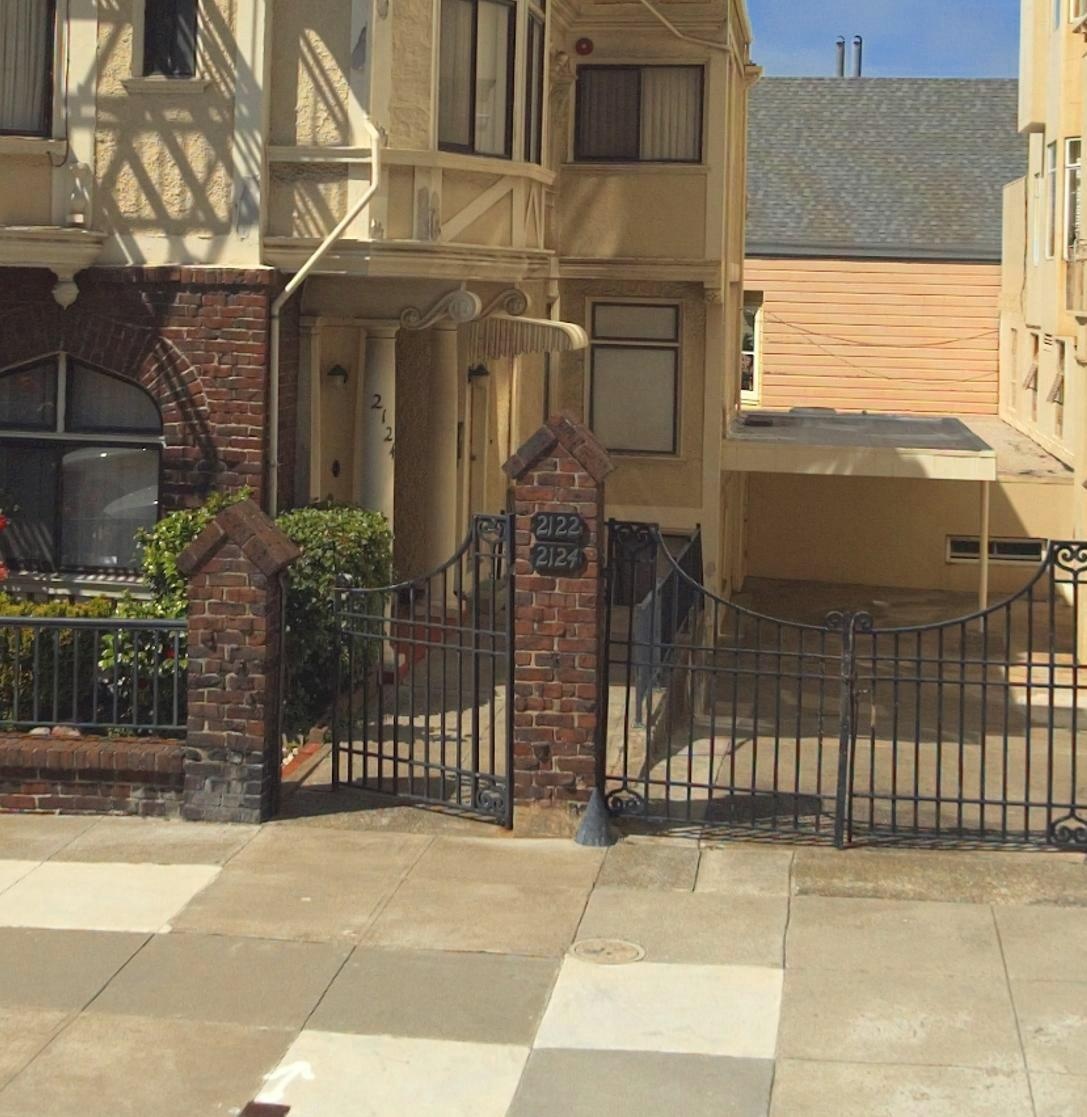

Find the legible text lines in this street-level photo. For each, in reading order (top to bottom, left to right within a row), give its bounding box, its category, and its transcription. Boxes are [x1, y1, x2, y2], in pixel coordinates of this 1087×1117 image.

[370, 393, 396, 468] StreetNumber: 2124
[535, 514, 581, 537] StreetNumber: 2122
[535, 545, 579, 568] StreetNumber: 2124